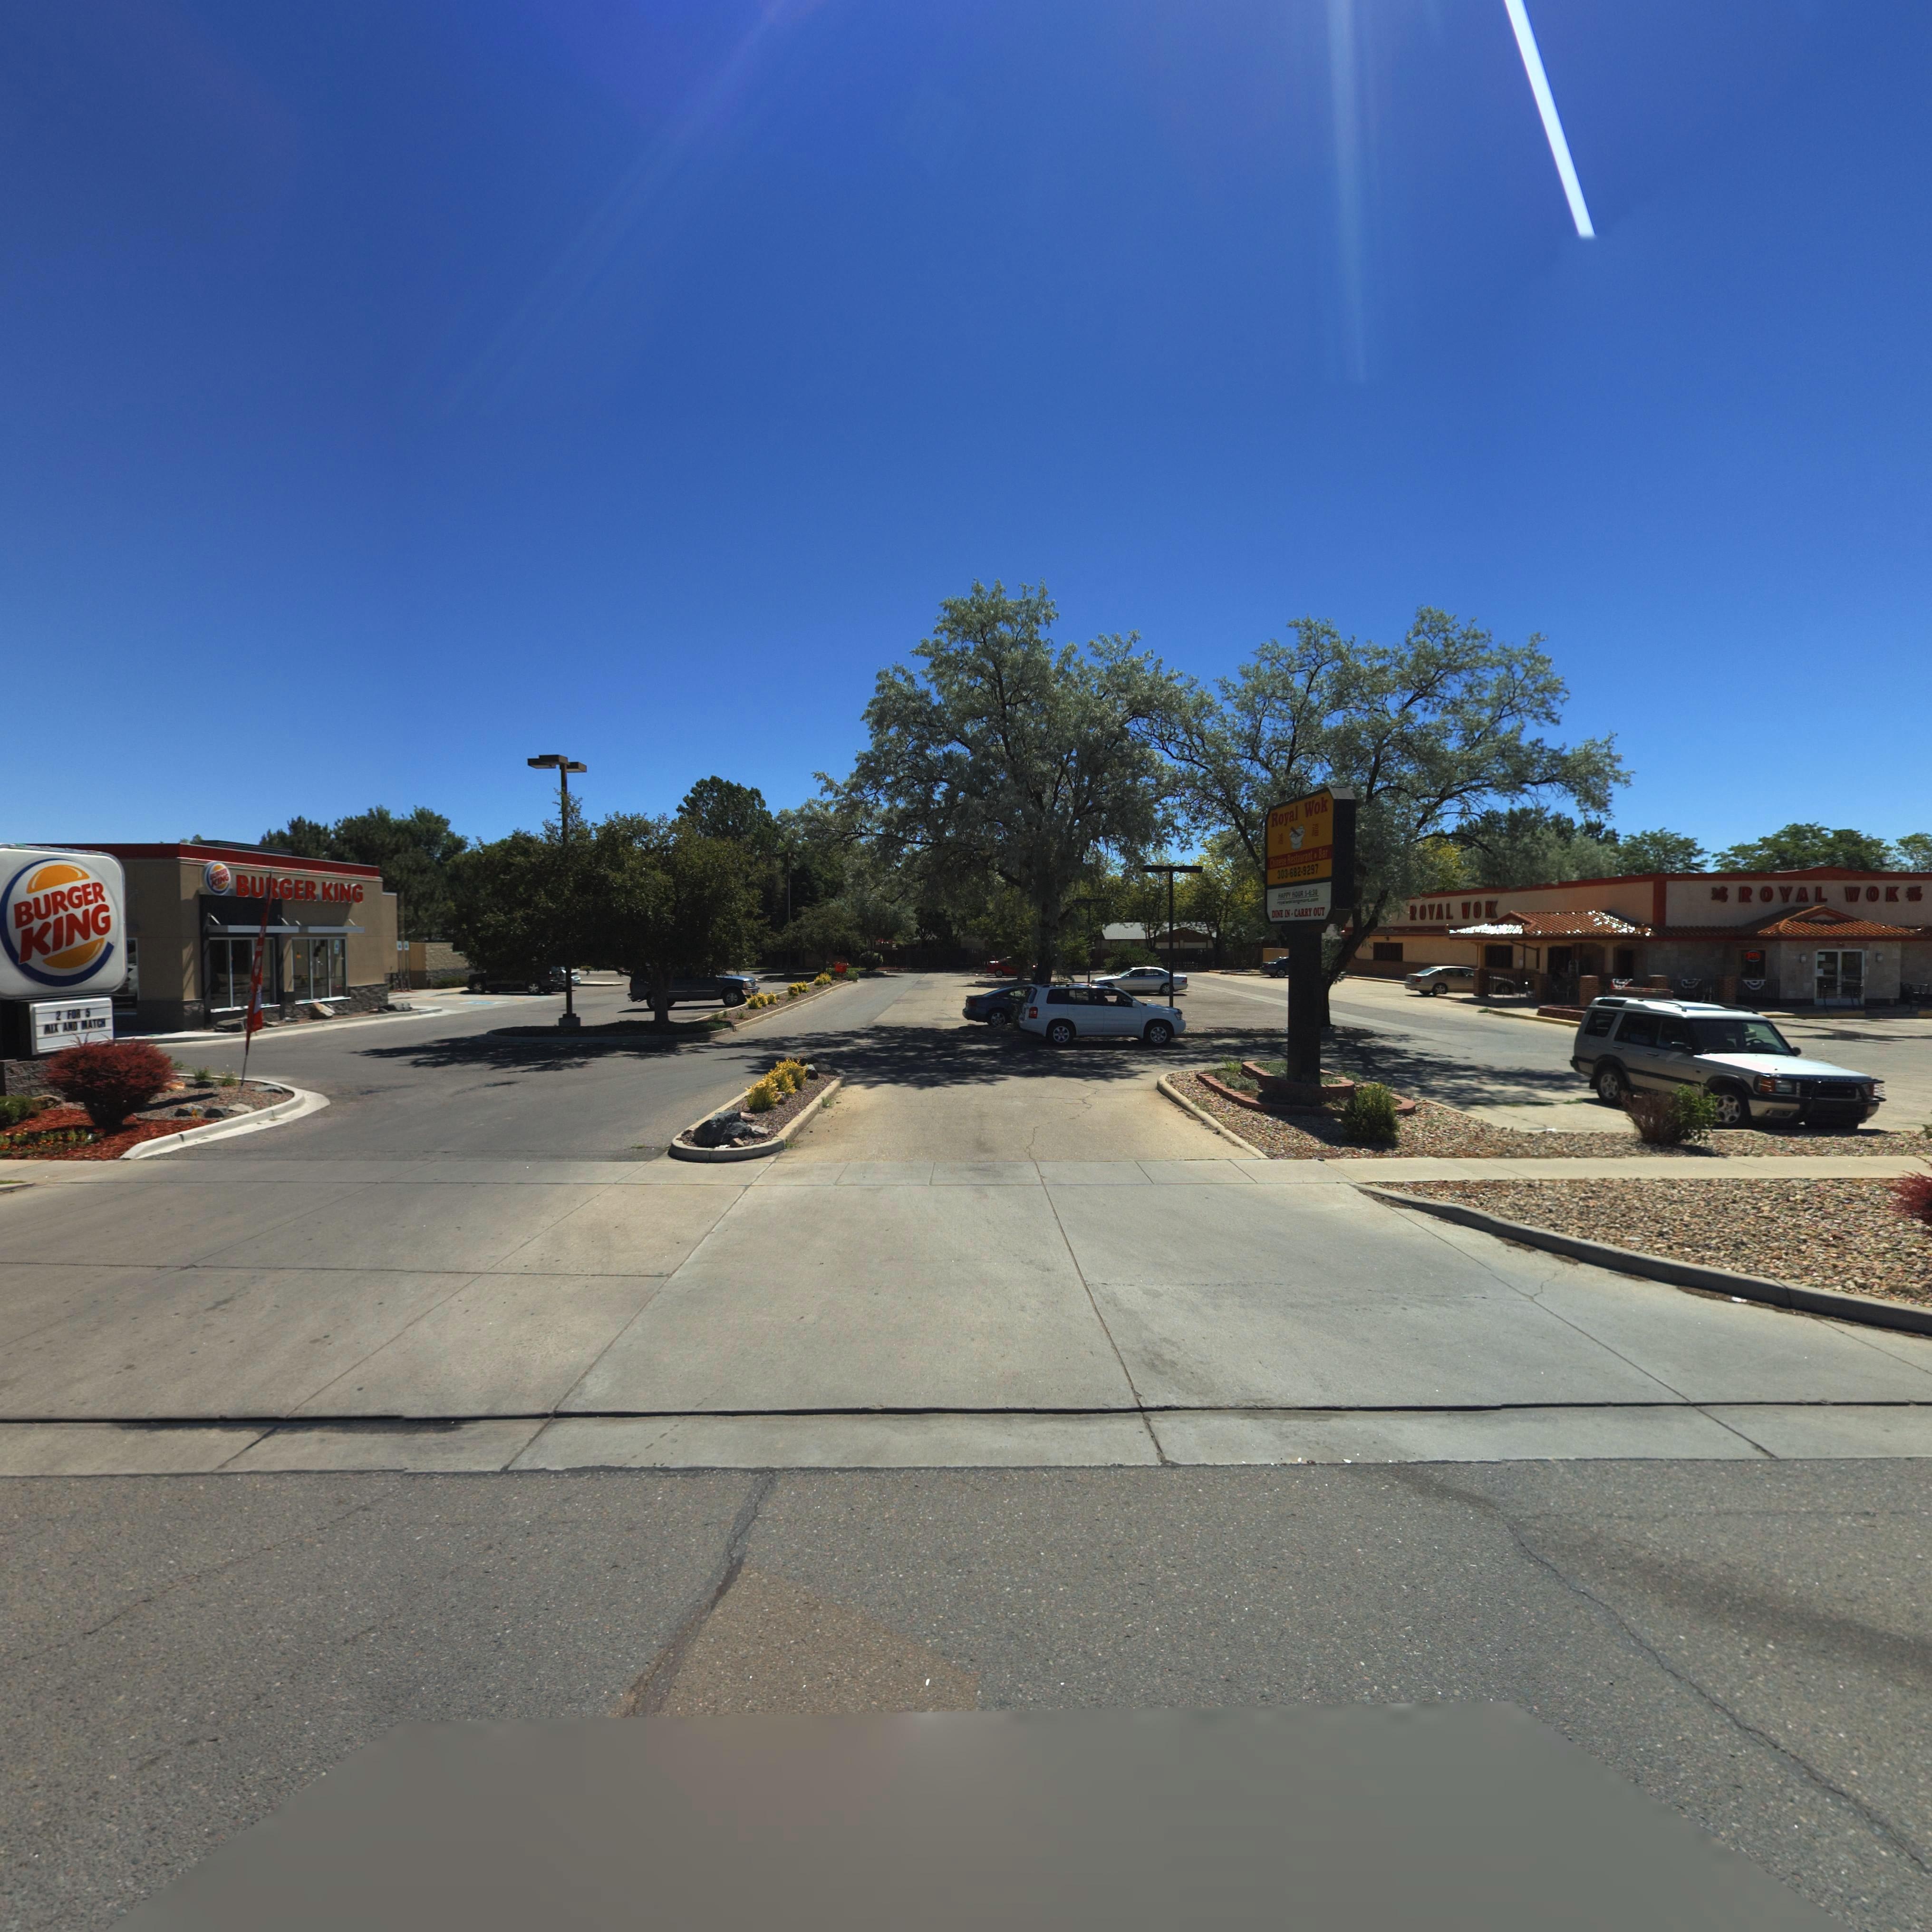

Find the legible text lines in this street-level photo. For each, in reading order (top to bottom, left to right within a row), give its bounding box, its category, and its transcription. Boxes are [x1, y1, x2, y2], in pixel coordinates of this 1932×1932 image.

[1271, 795, 1328, 828] BusinessName: Royal Wok
[13, 880, 106, 929] BusinessName: BURGER
[209, 867, 228, 880] BusinessName: BURGER
[211, 872, 230, 888] BusinessName: KING
[235, 874, 363, 904] BusinessName: BU*GER KING
[1410, 900, 1498, 921] BusinessName: ROYAL WOK
[1739, 885, 1900, 903] BusinessName: ROYAL WOK
[18, 903, 112, 965] BusinessName: KING